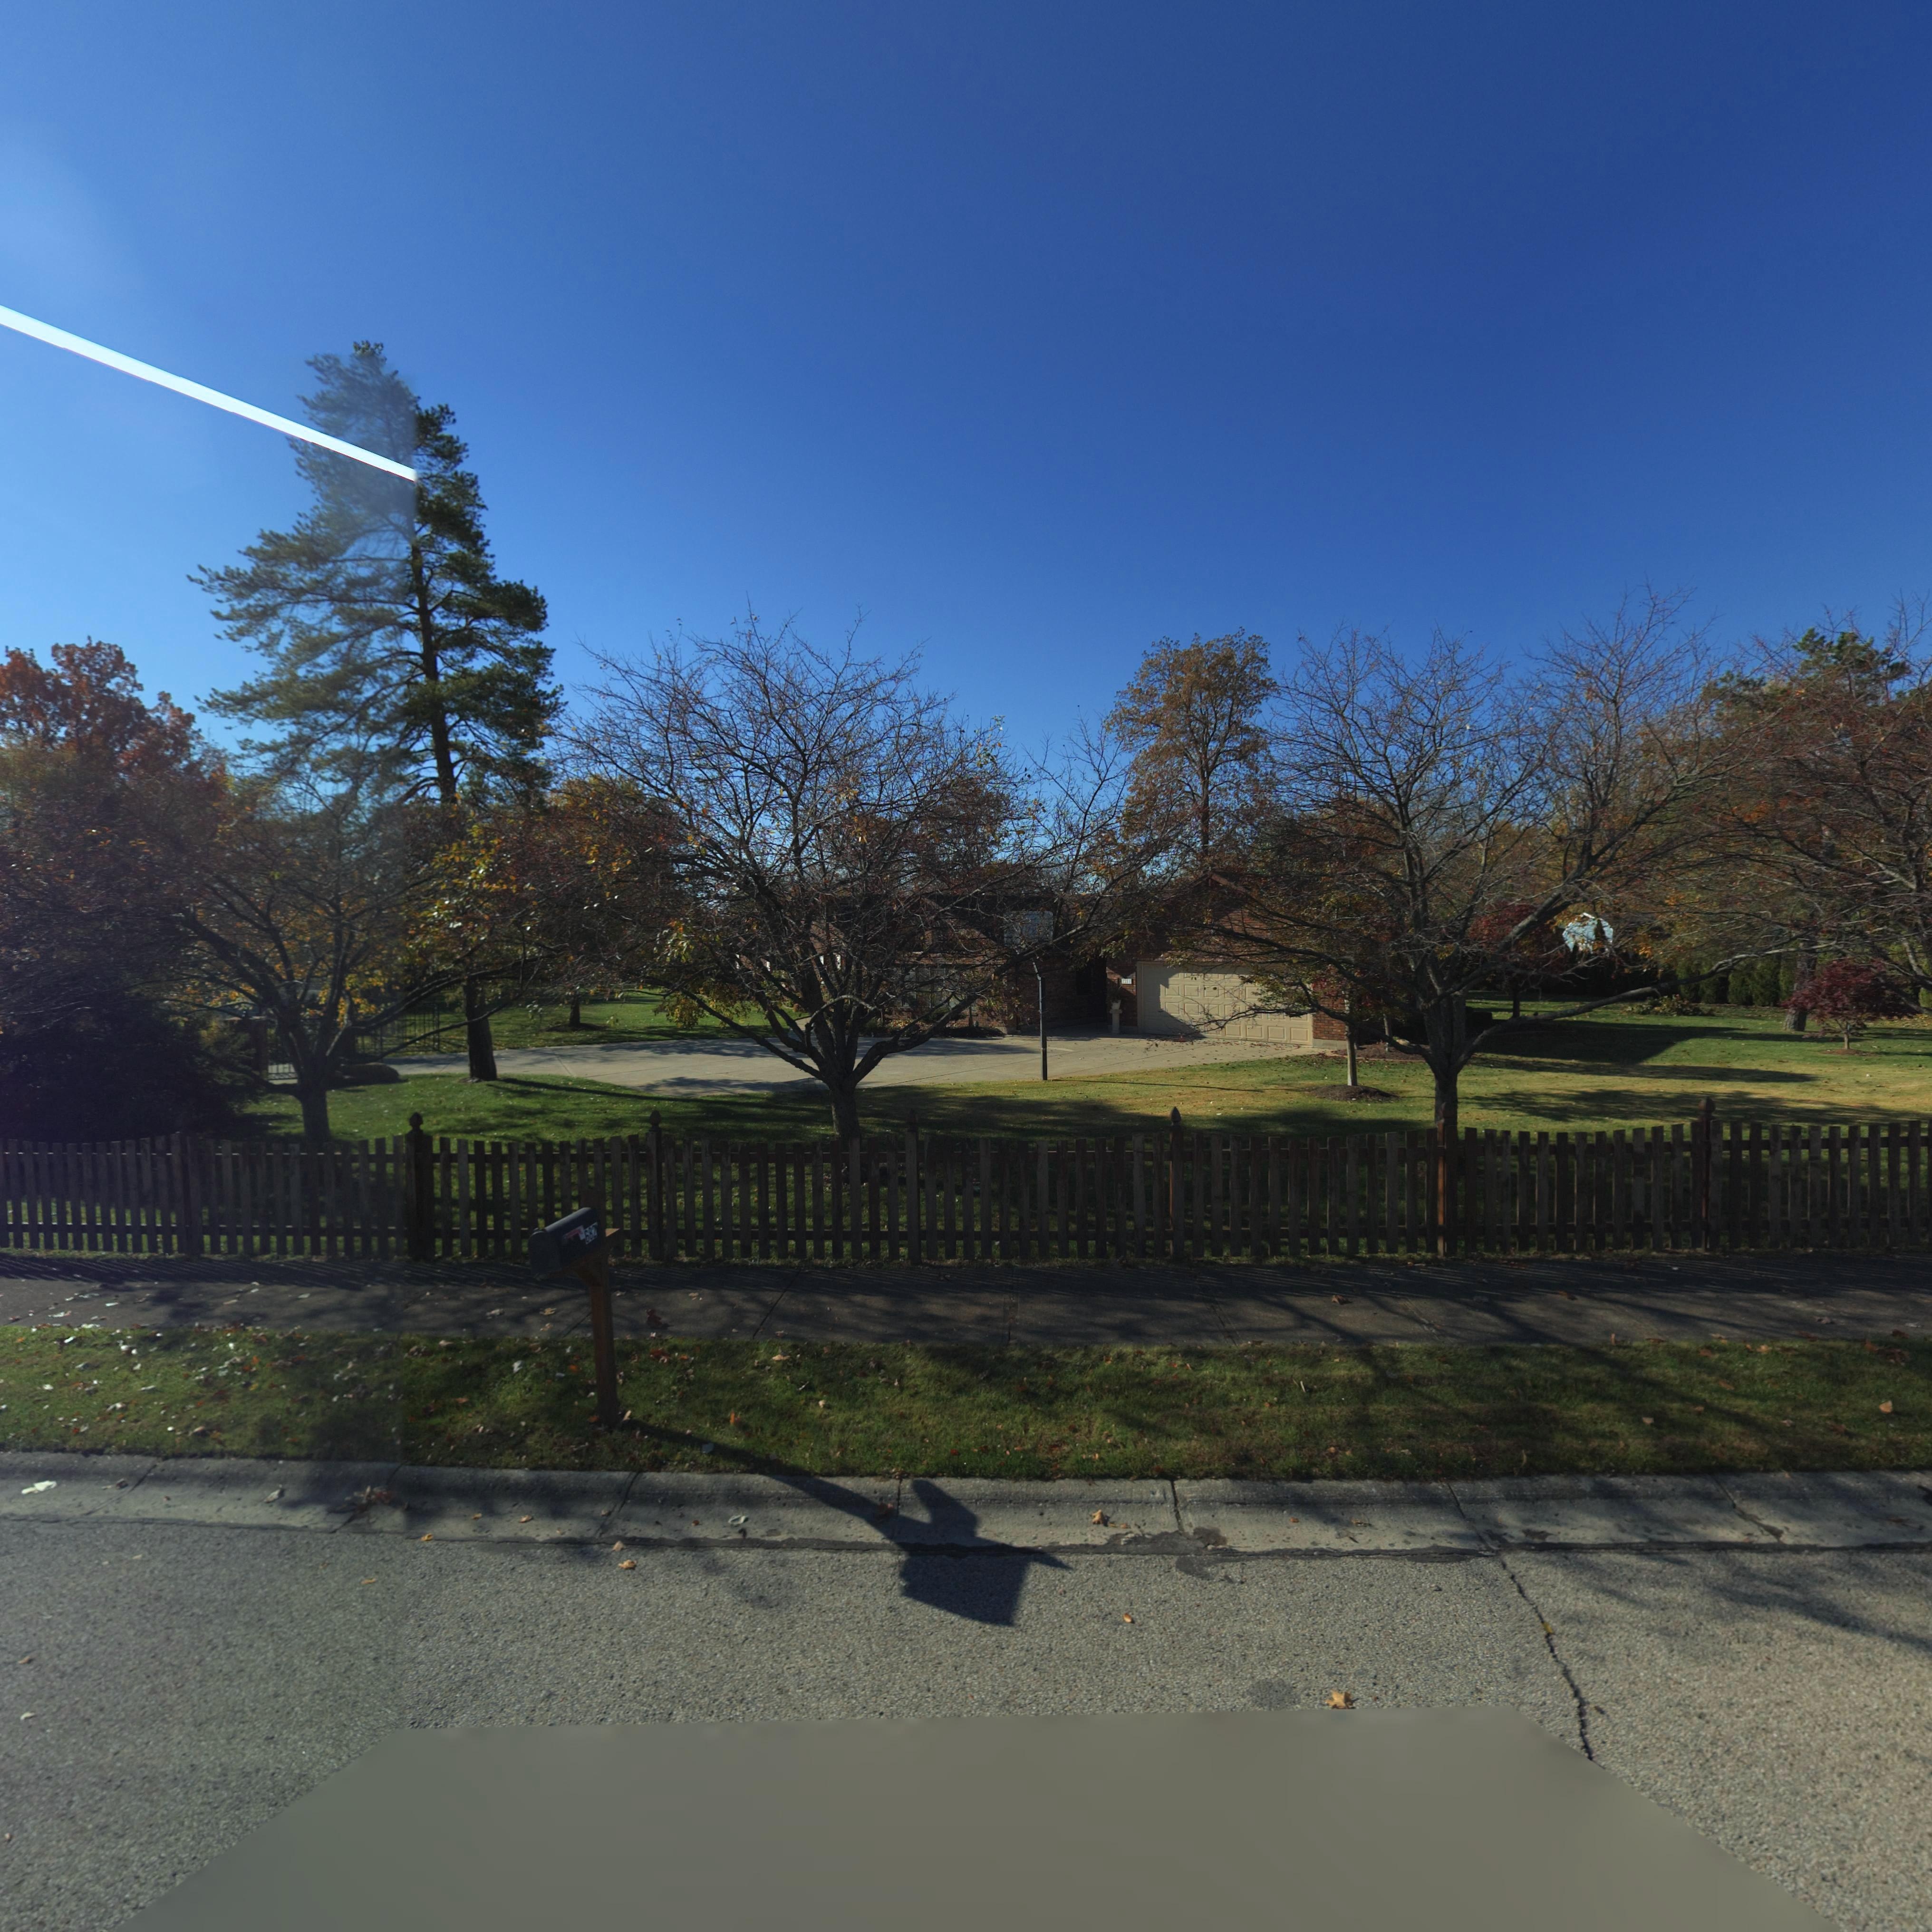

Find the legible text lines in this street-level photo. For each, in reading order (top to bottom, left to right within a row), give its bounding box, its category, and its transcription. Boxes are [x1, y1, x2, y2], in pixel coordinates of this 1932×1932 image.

[583, 1222, 599, 1246] StreetNumber: 682